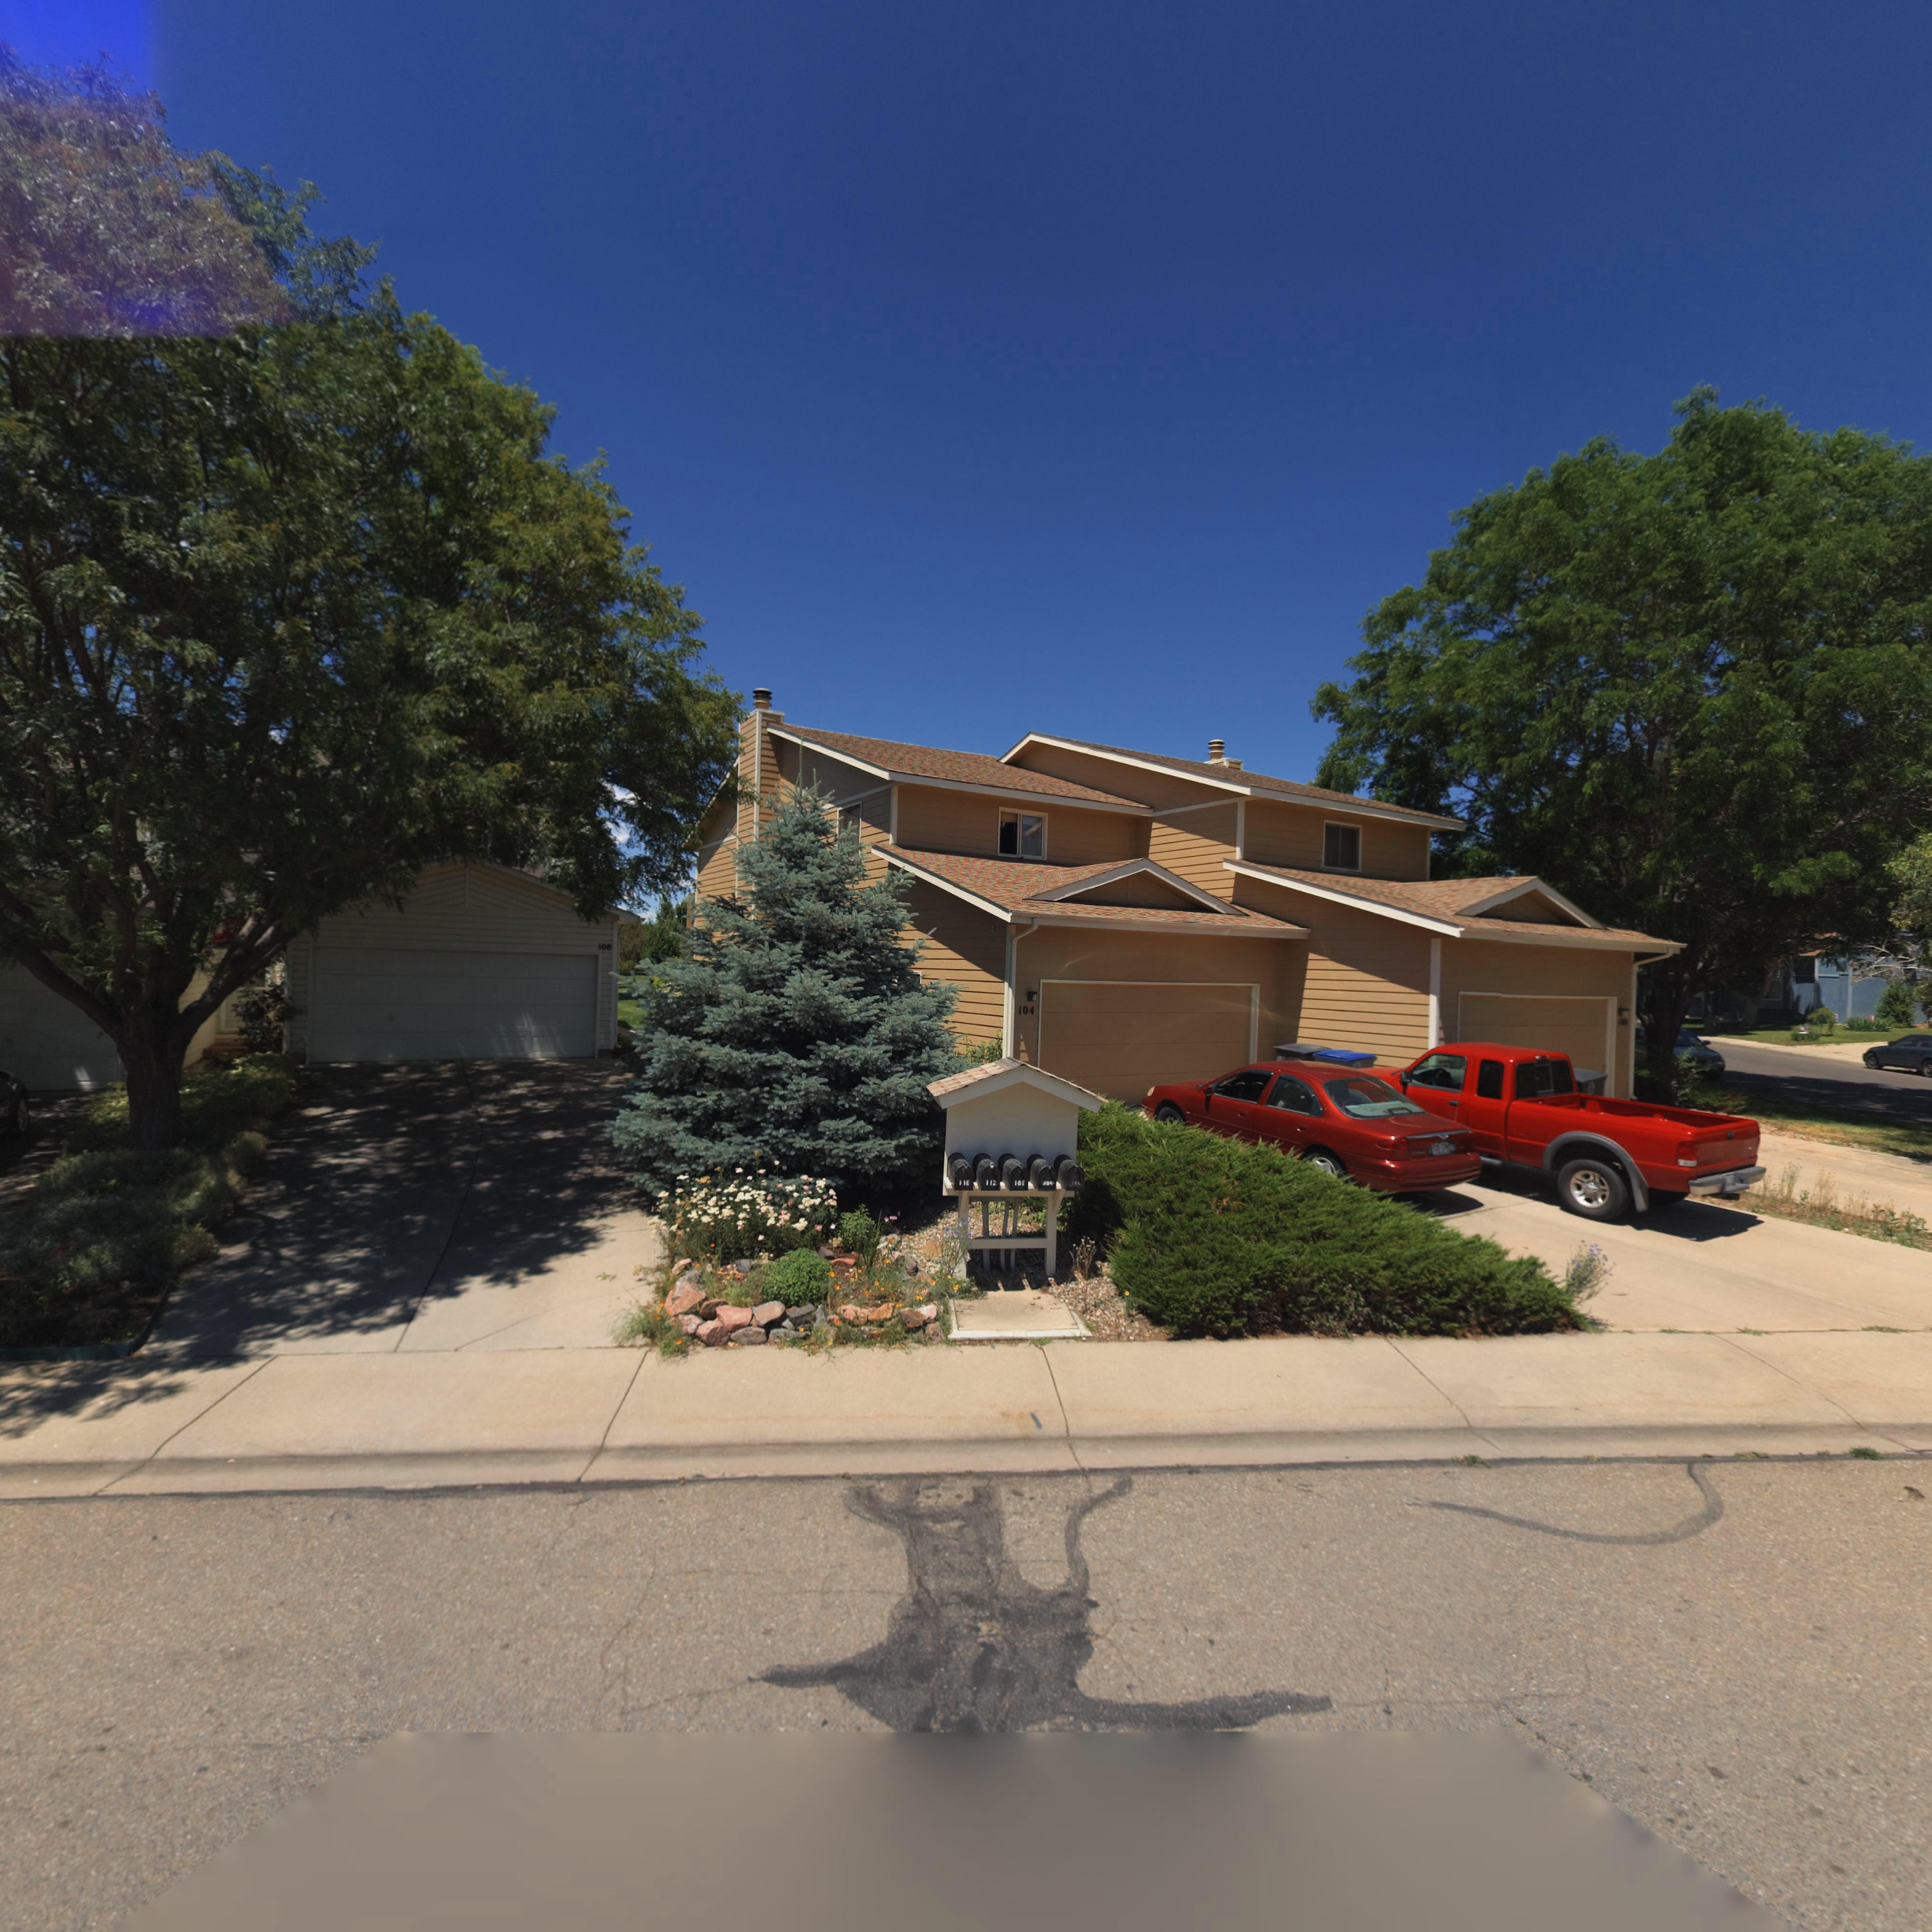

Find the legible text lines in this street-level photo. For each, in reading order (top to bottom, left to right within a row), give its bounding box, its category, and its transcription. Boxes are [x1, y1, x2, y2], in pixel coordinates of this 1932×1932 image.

[598, 943, 612, 951] StreetNumber: 108
[1617, 1017, 1628, 1026] StreetNumber: 10*
[958, 1179, 970, 1186] StreetNumber: 116
[985, 1179, 997, 1186] StreetNumber: 112
[1014, 1179, 1024, 1186] StreetNumber: 10*
[1042, 1180, 1053, 1186] StreetNumber: 104
[1072, 1180, 1080, 1185] StreetNumber: 10*